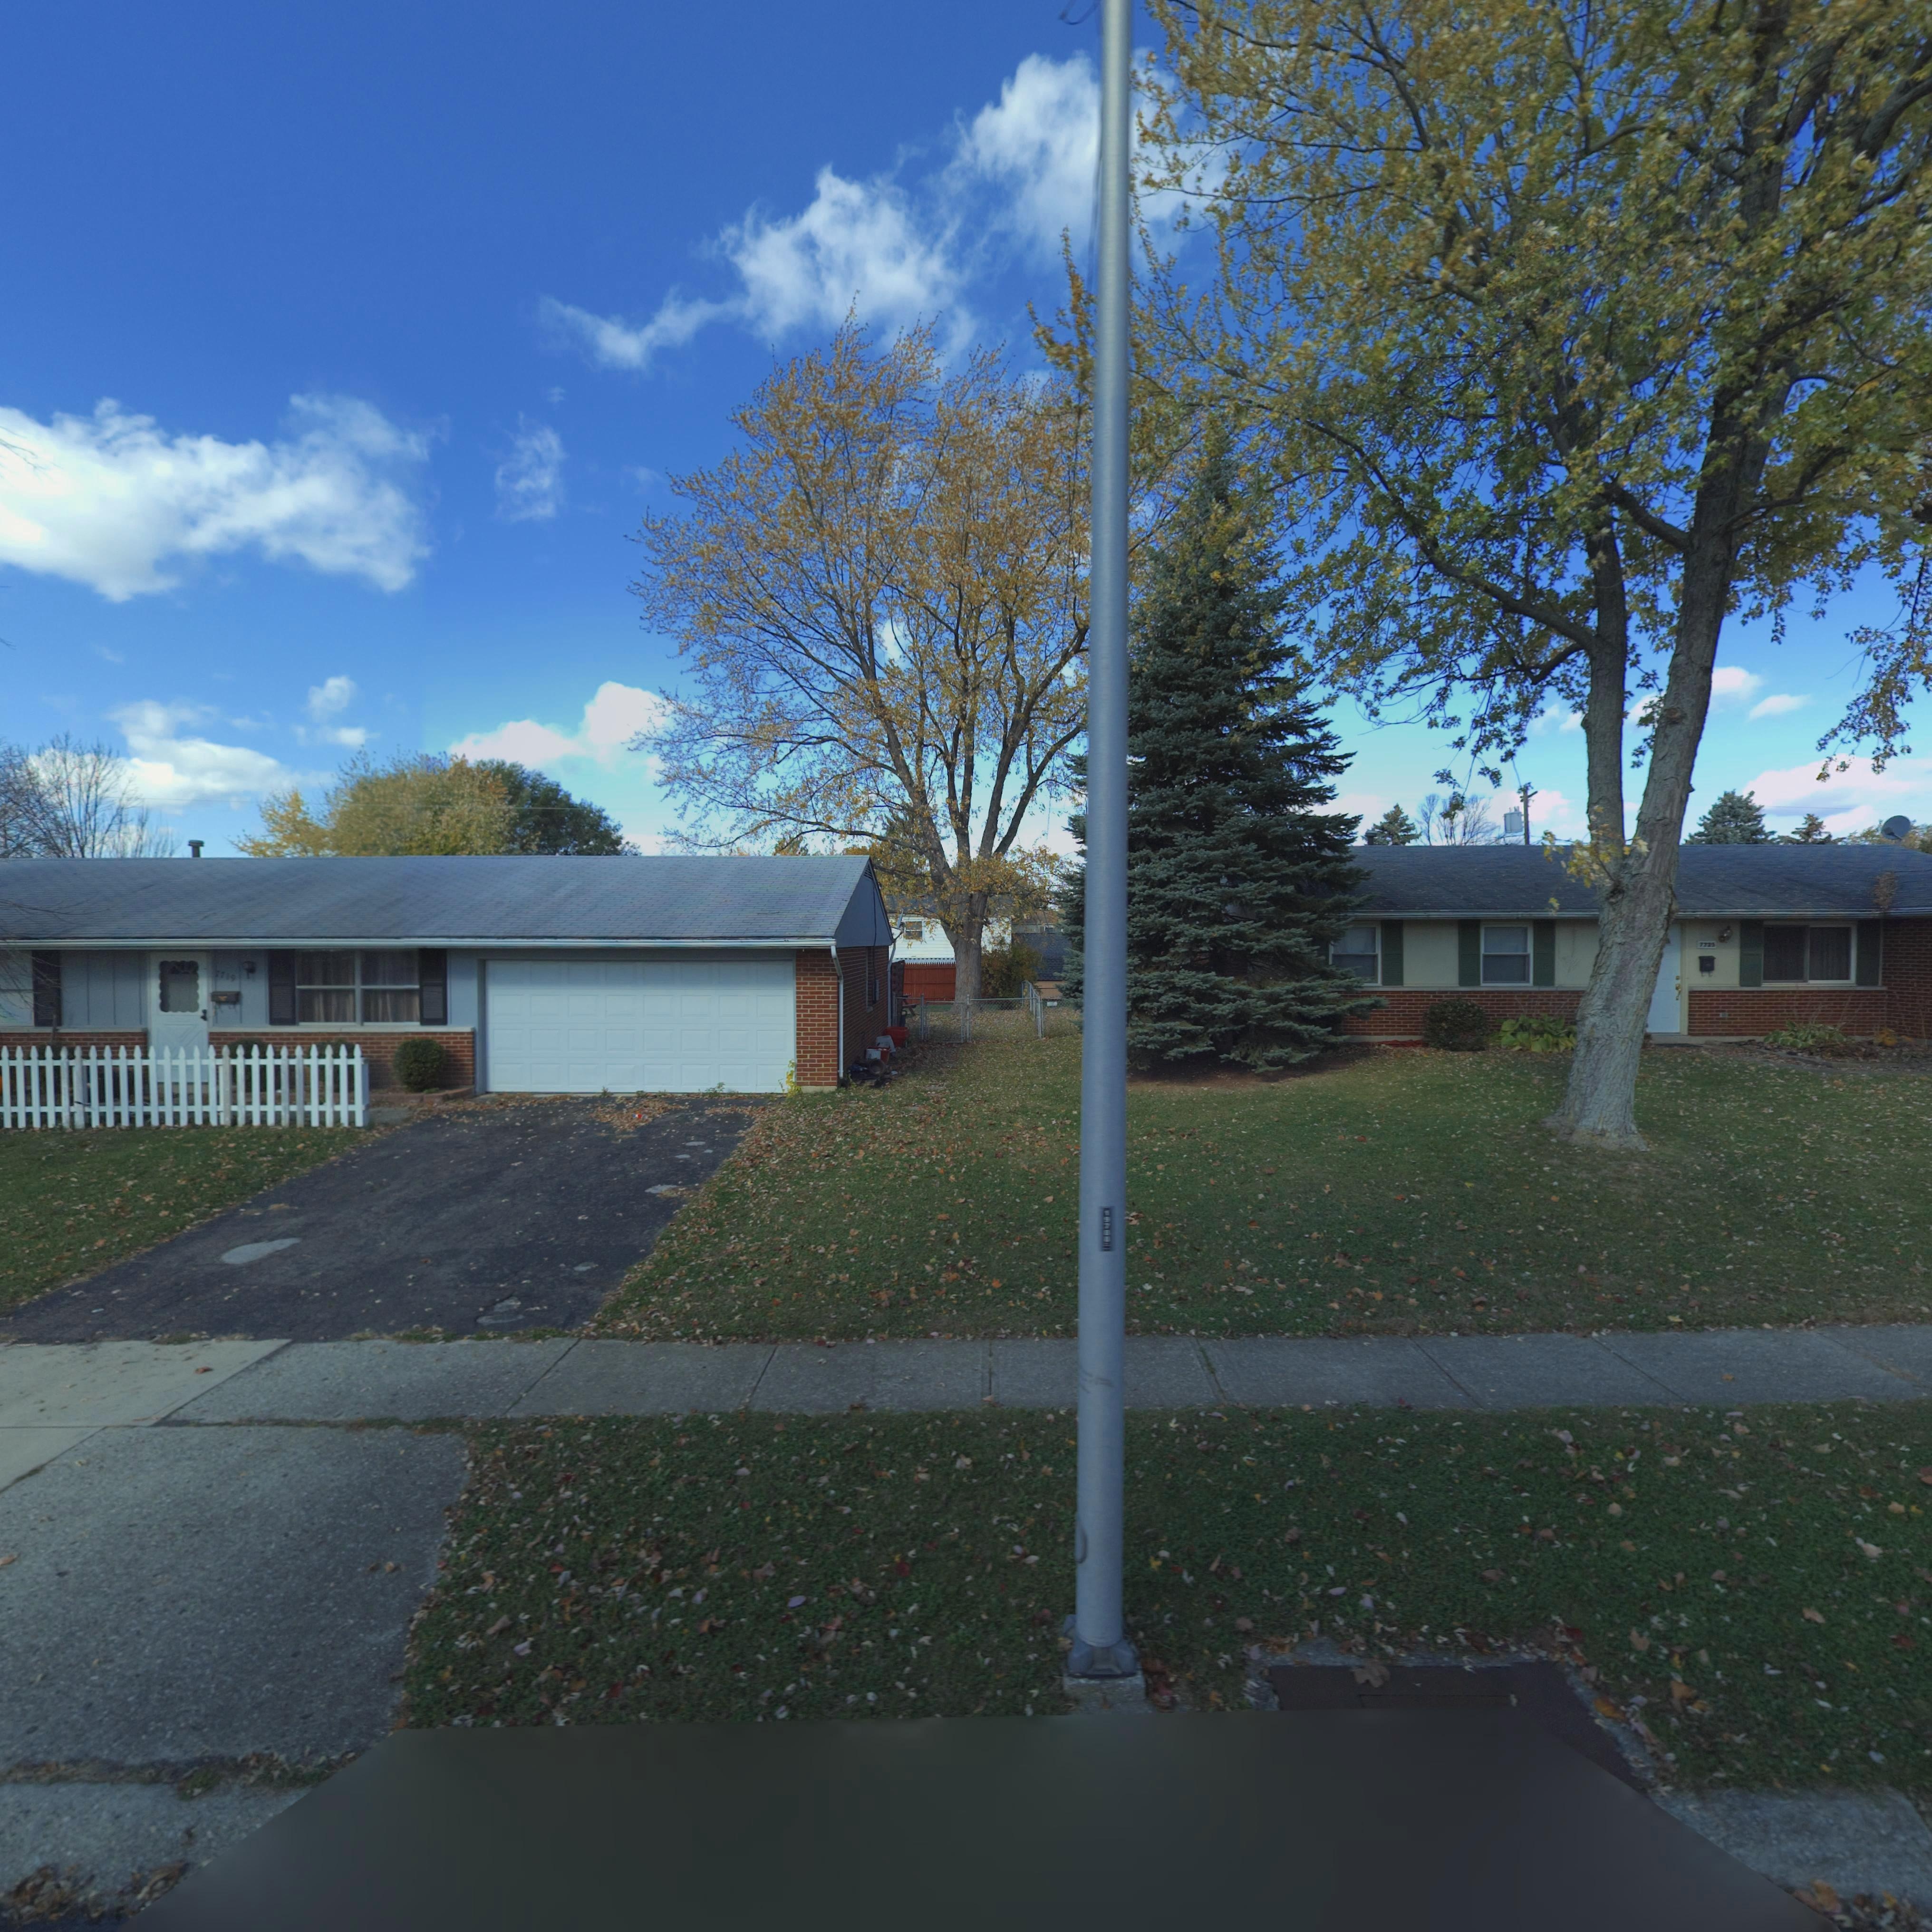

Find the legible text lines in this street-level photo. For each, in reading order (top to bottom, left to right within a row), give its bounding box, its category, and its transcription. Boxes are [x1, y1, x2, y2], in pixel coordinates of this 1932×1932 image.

[1699, 941, 1716, 947] StreetNumber: 7725
[214, 970, 237, 983] StreetNumber: 7719